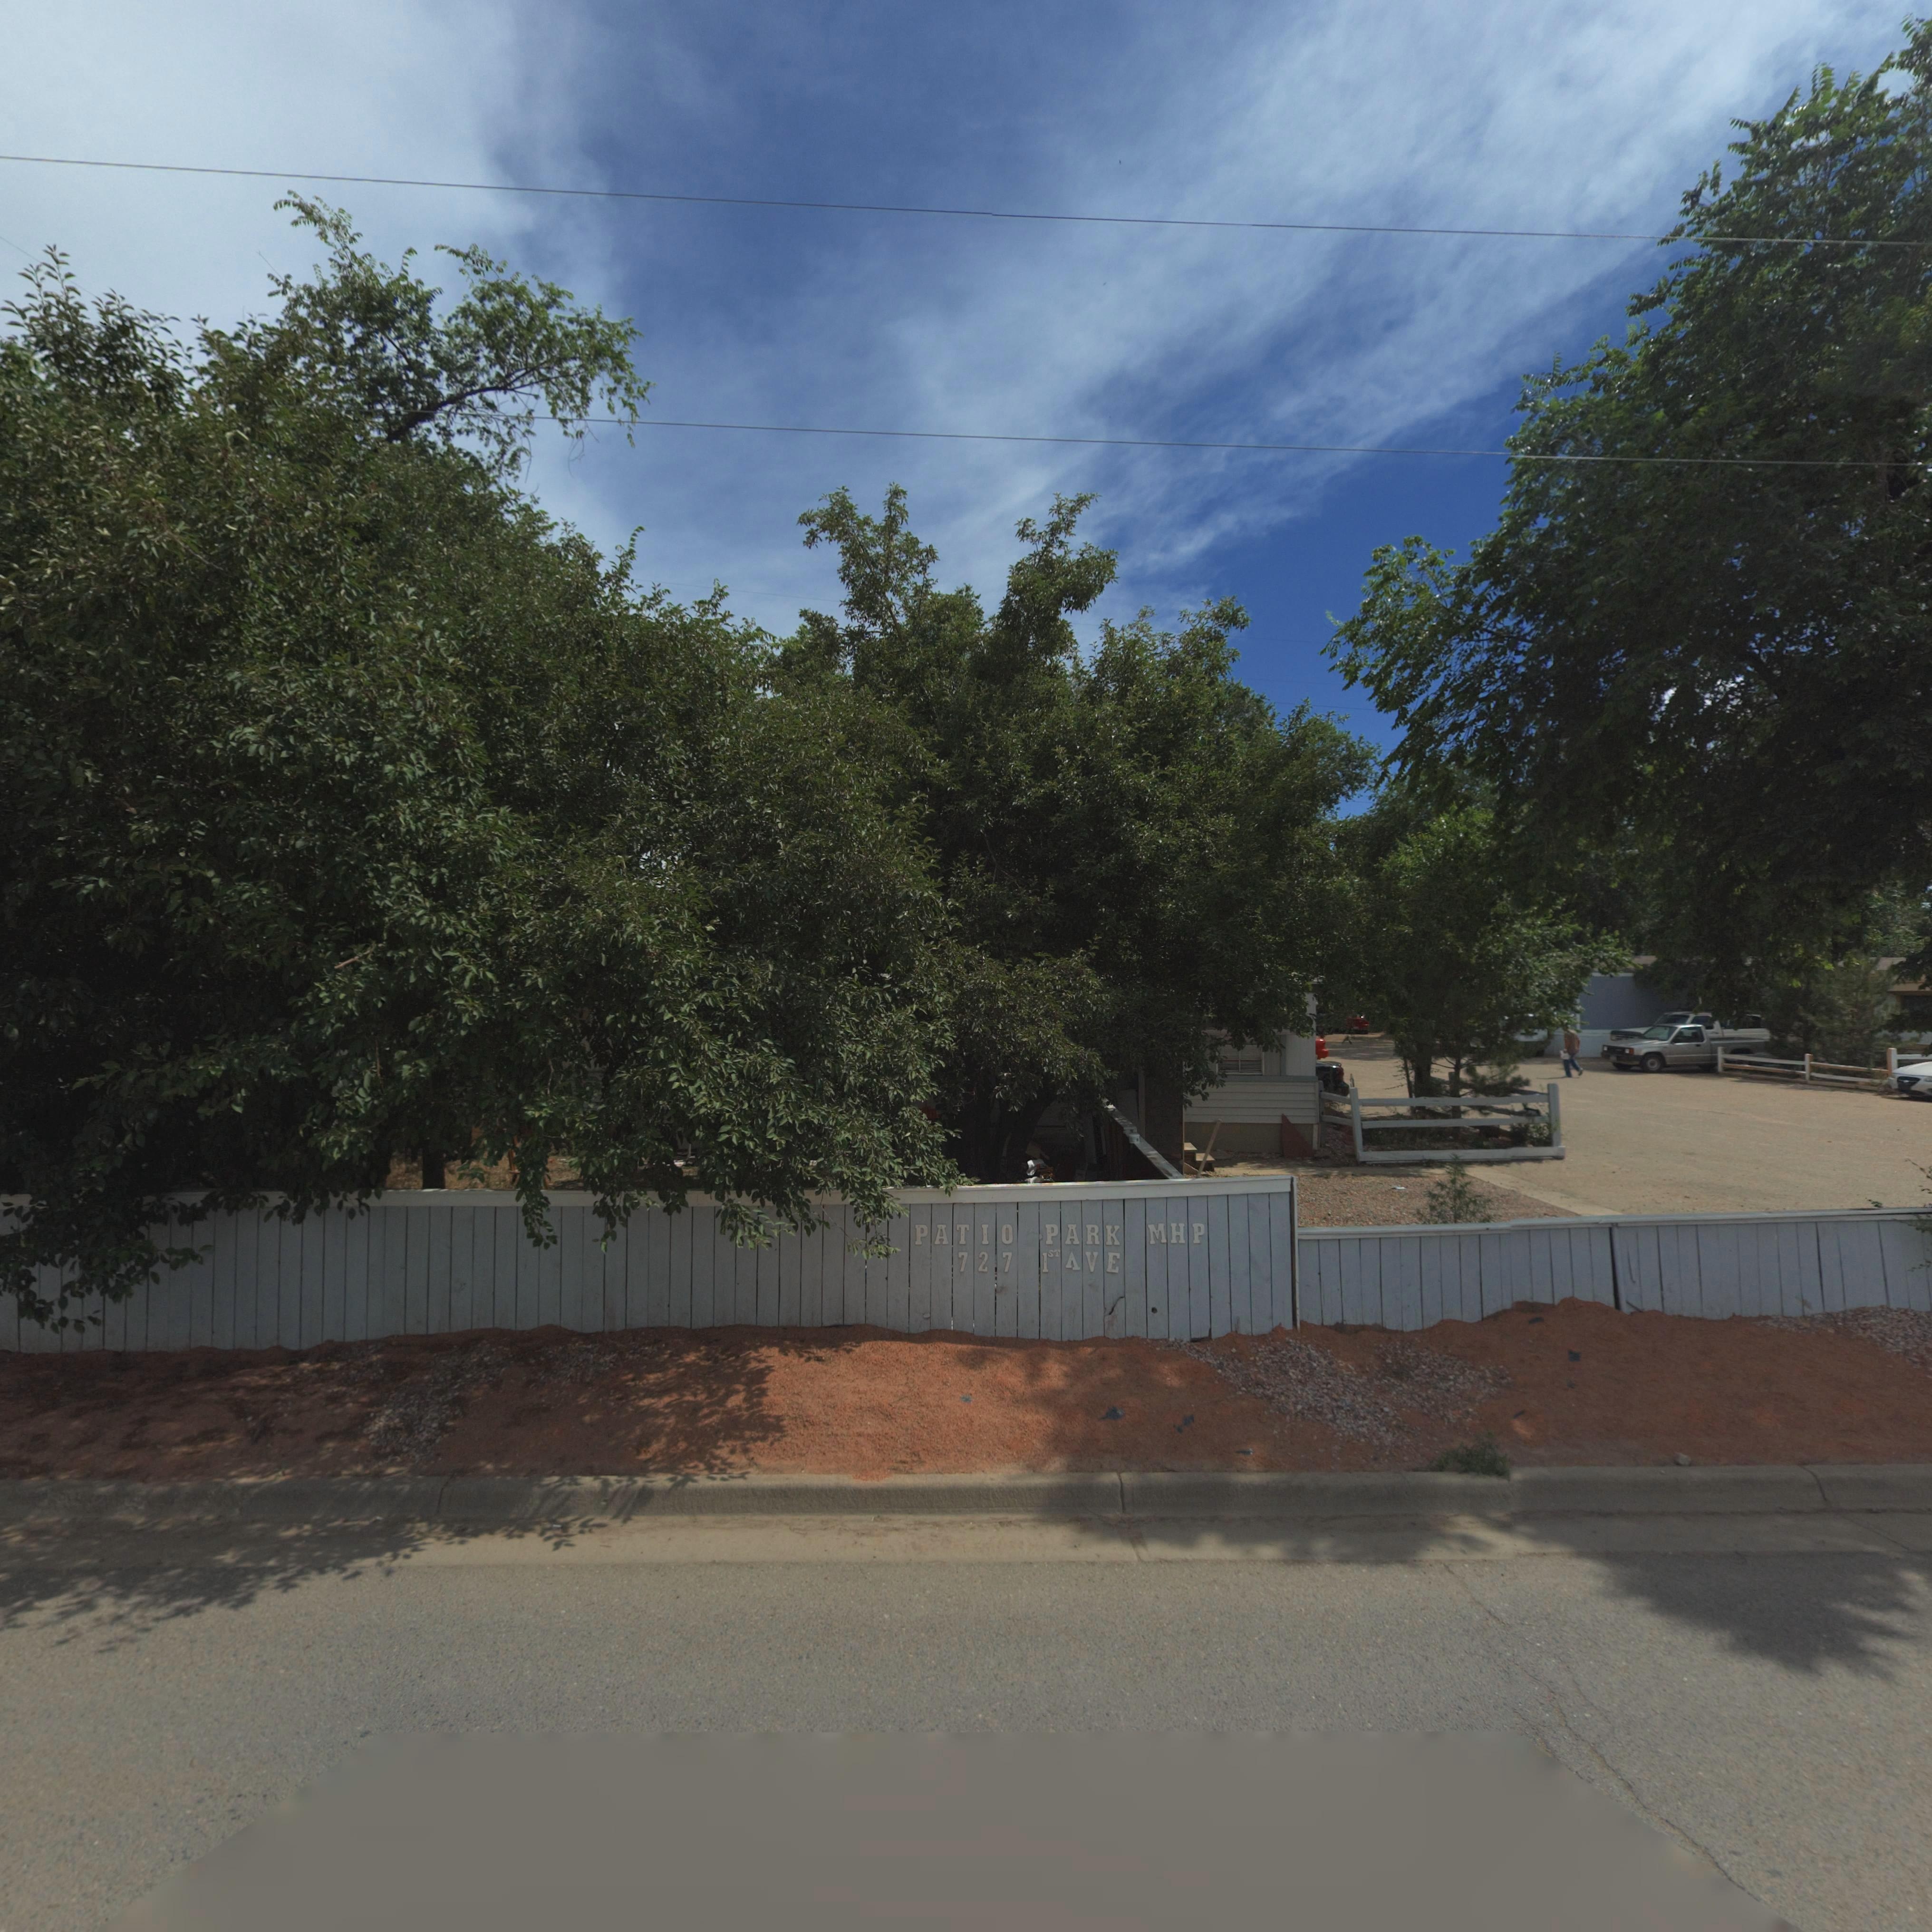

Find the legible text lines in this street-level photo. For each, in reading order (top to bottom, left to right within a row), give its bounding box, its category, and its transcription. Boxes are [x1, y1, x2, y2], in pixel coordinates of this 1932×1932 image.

[914, 1222, 1205, 1246] BusinessName: PATIO PARK MHP
[957, 1251, 1013, 1272] StreetNumber: 727
[1042, 1247, 1121, 1274] StreetName: 1ST AVE